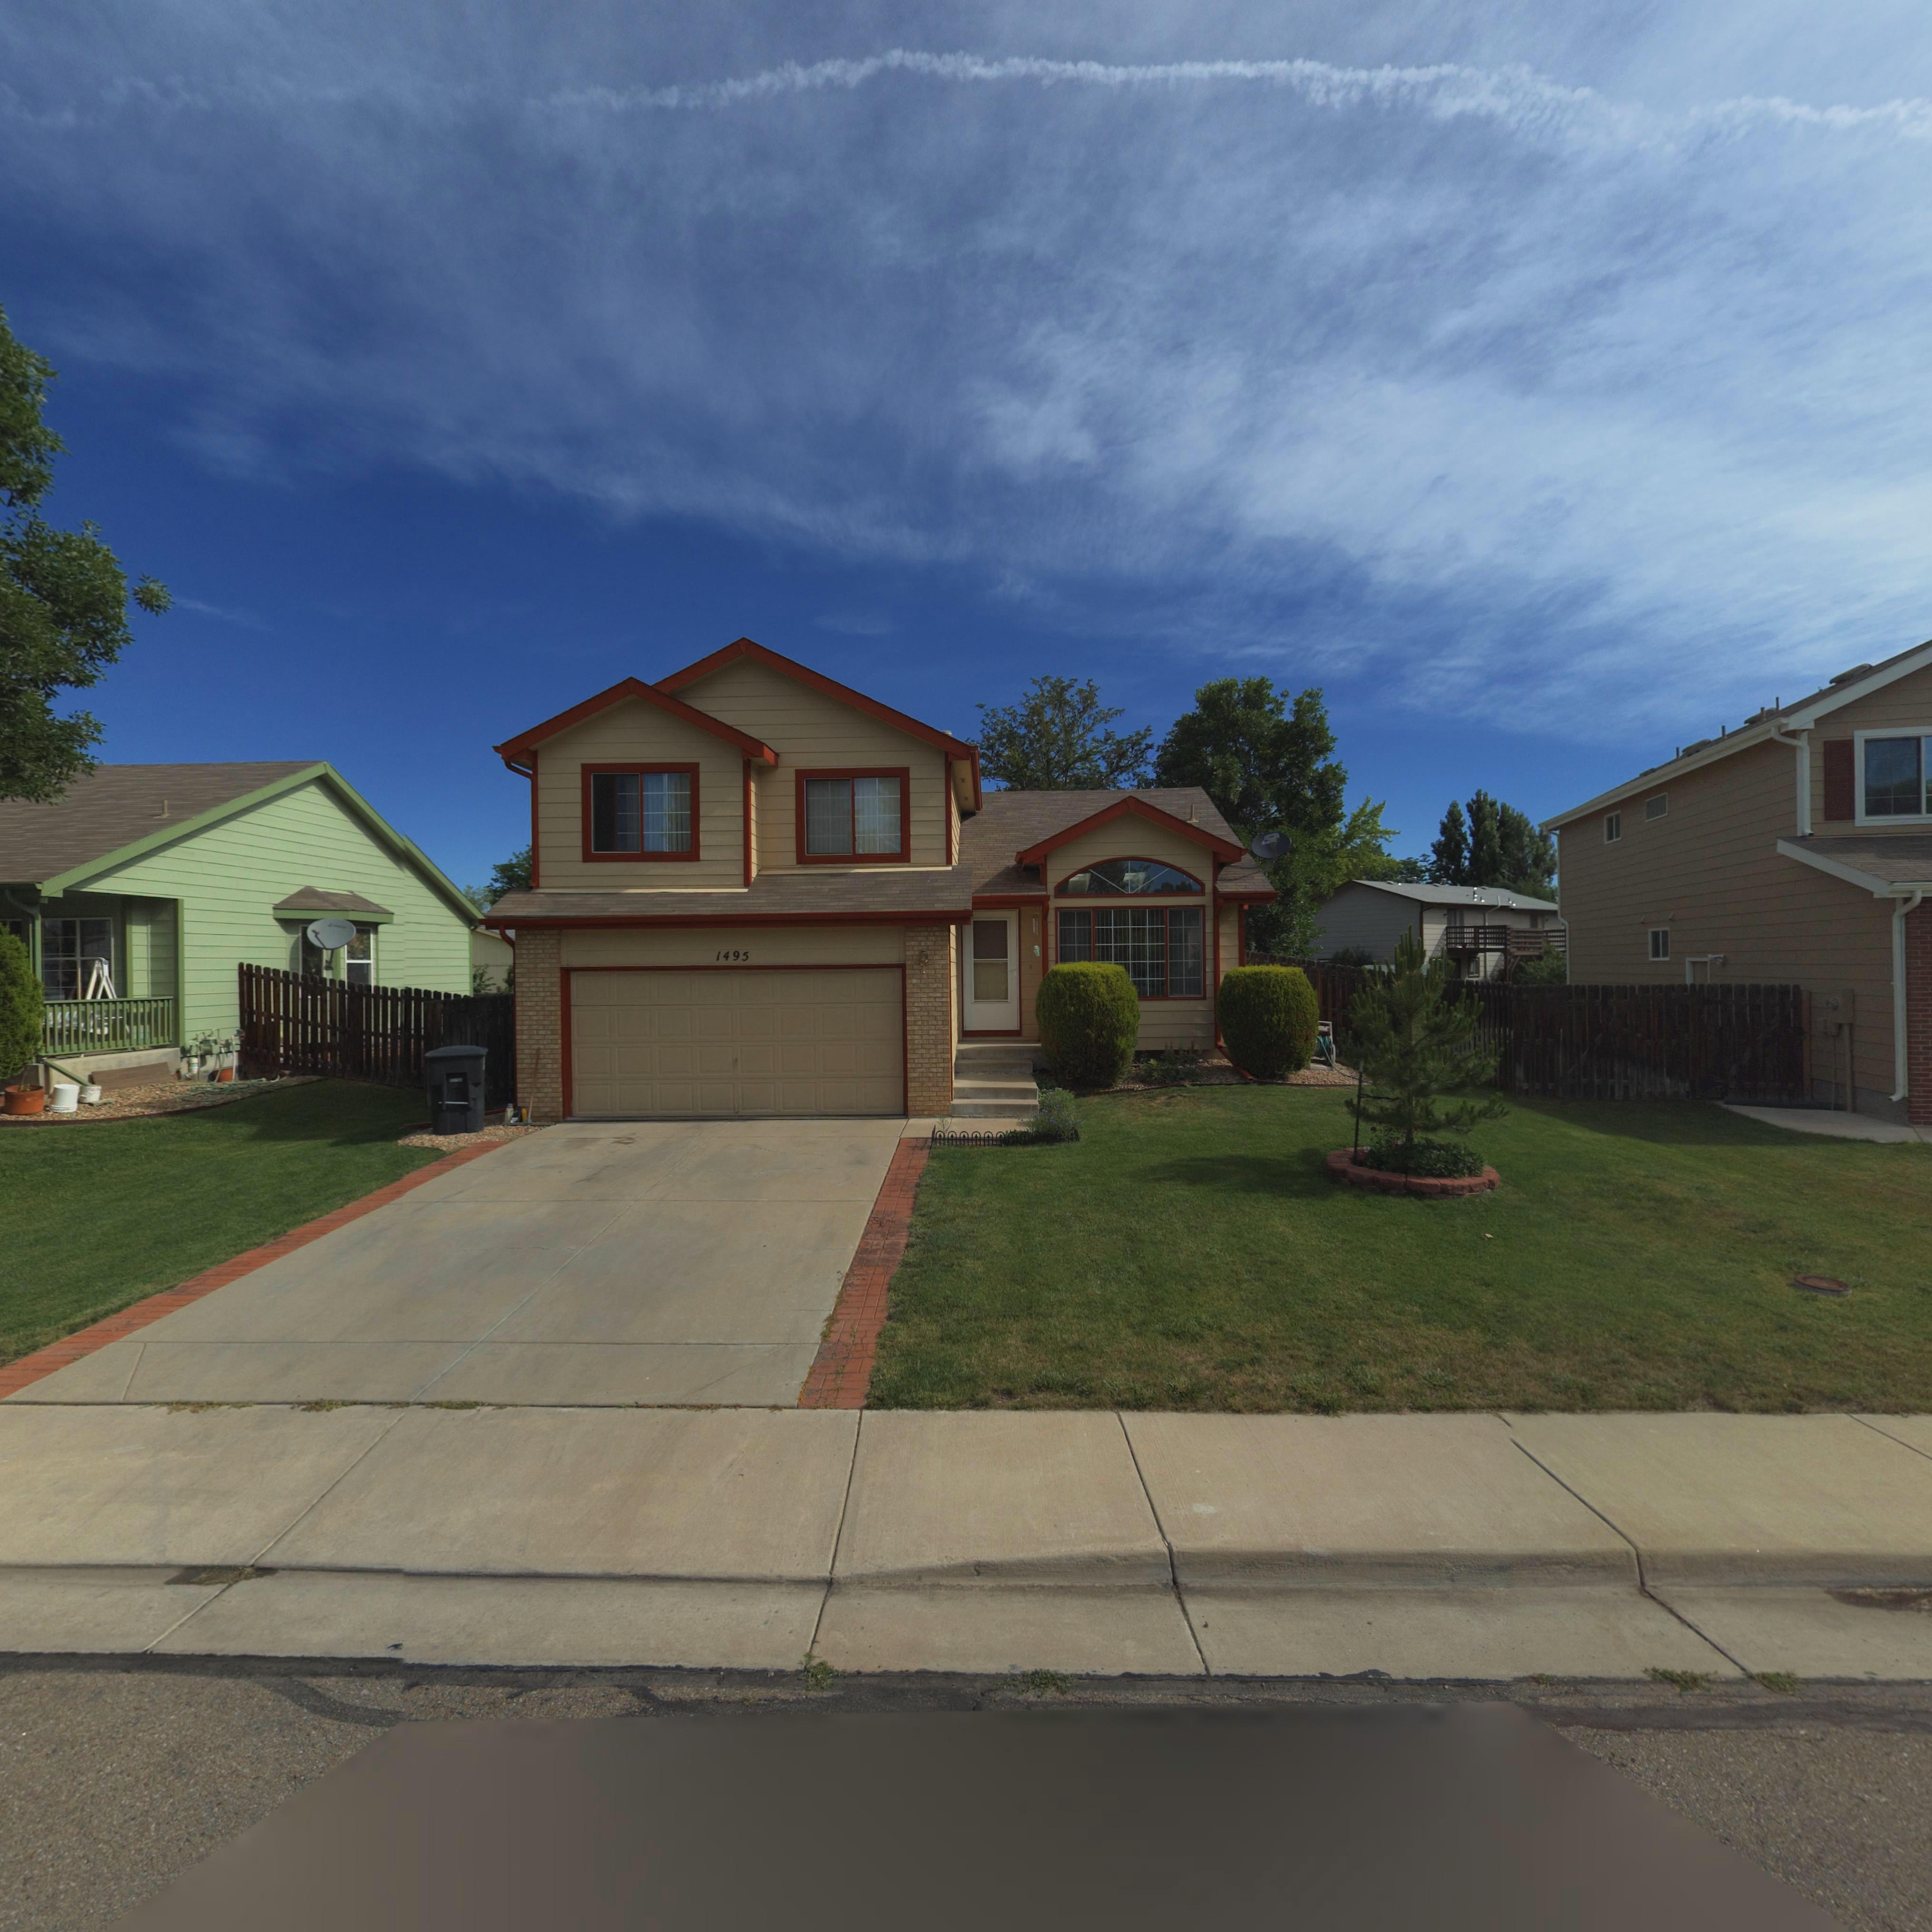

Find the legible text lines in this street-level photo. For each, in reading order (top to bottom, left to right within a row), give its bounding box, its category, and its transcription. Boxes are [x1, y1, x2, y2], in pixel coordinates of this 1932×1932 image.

[715, 950, 749, 961] StreetNumber: 1495